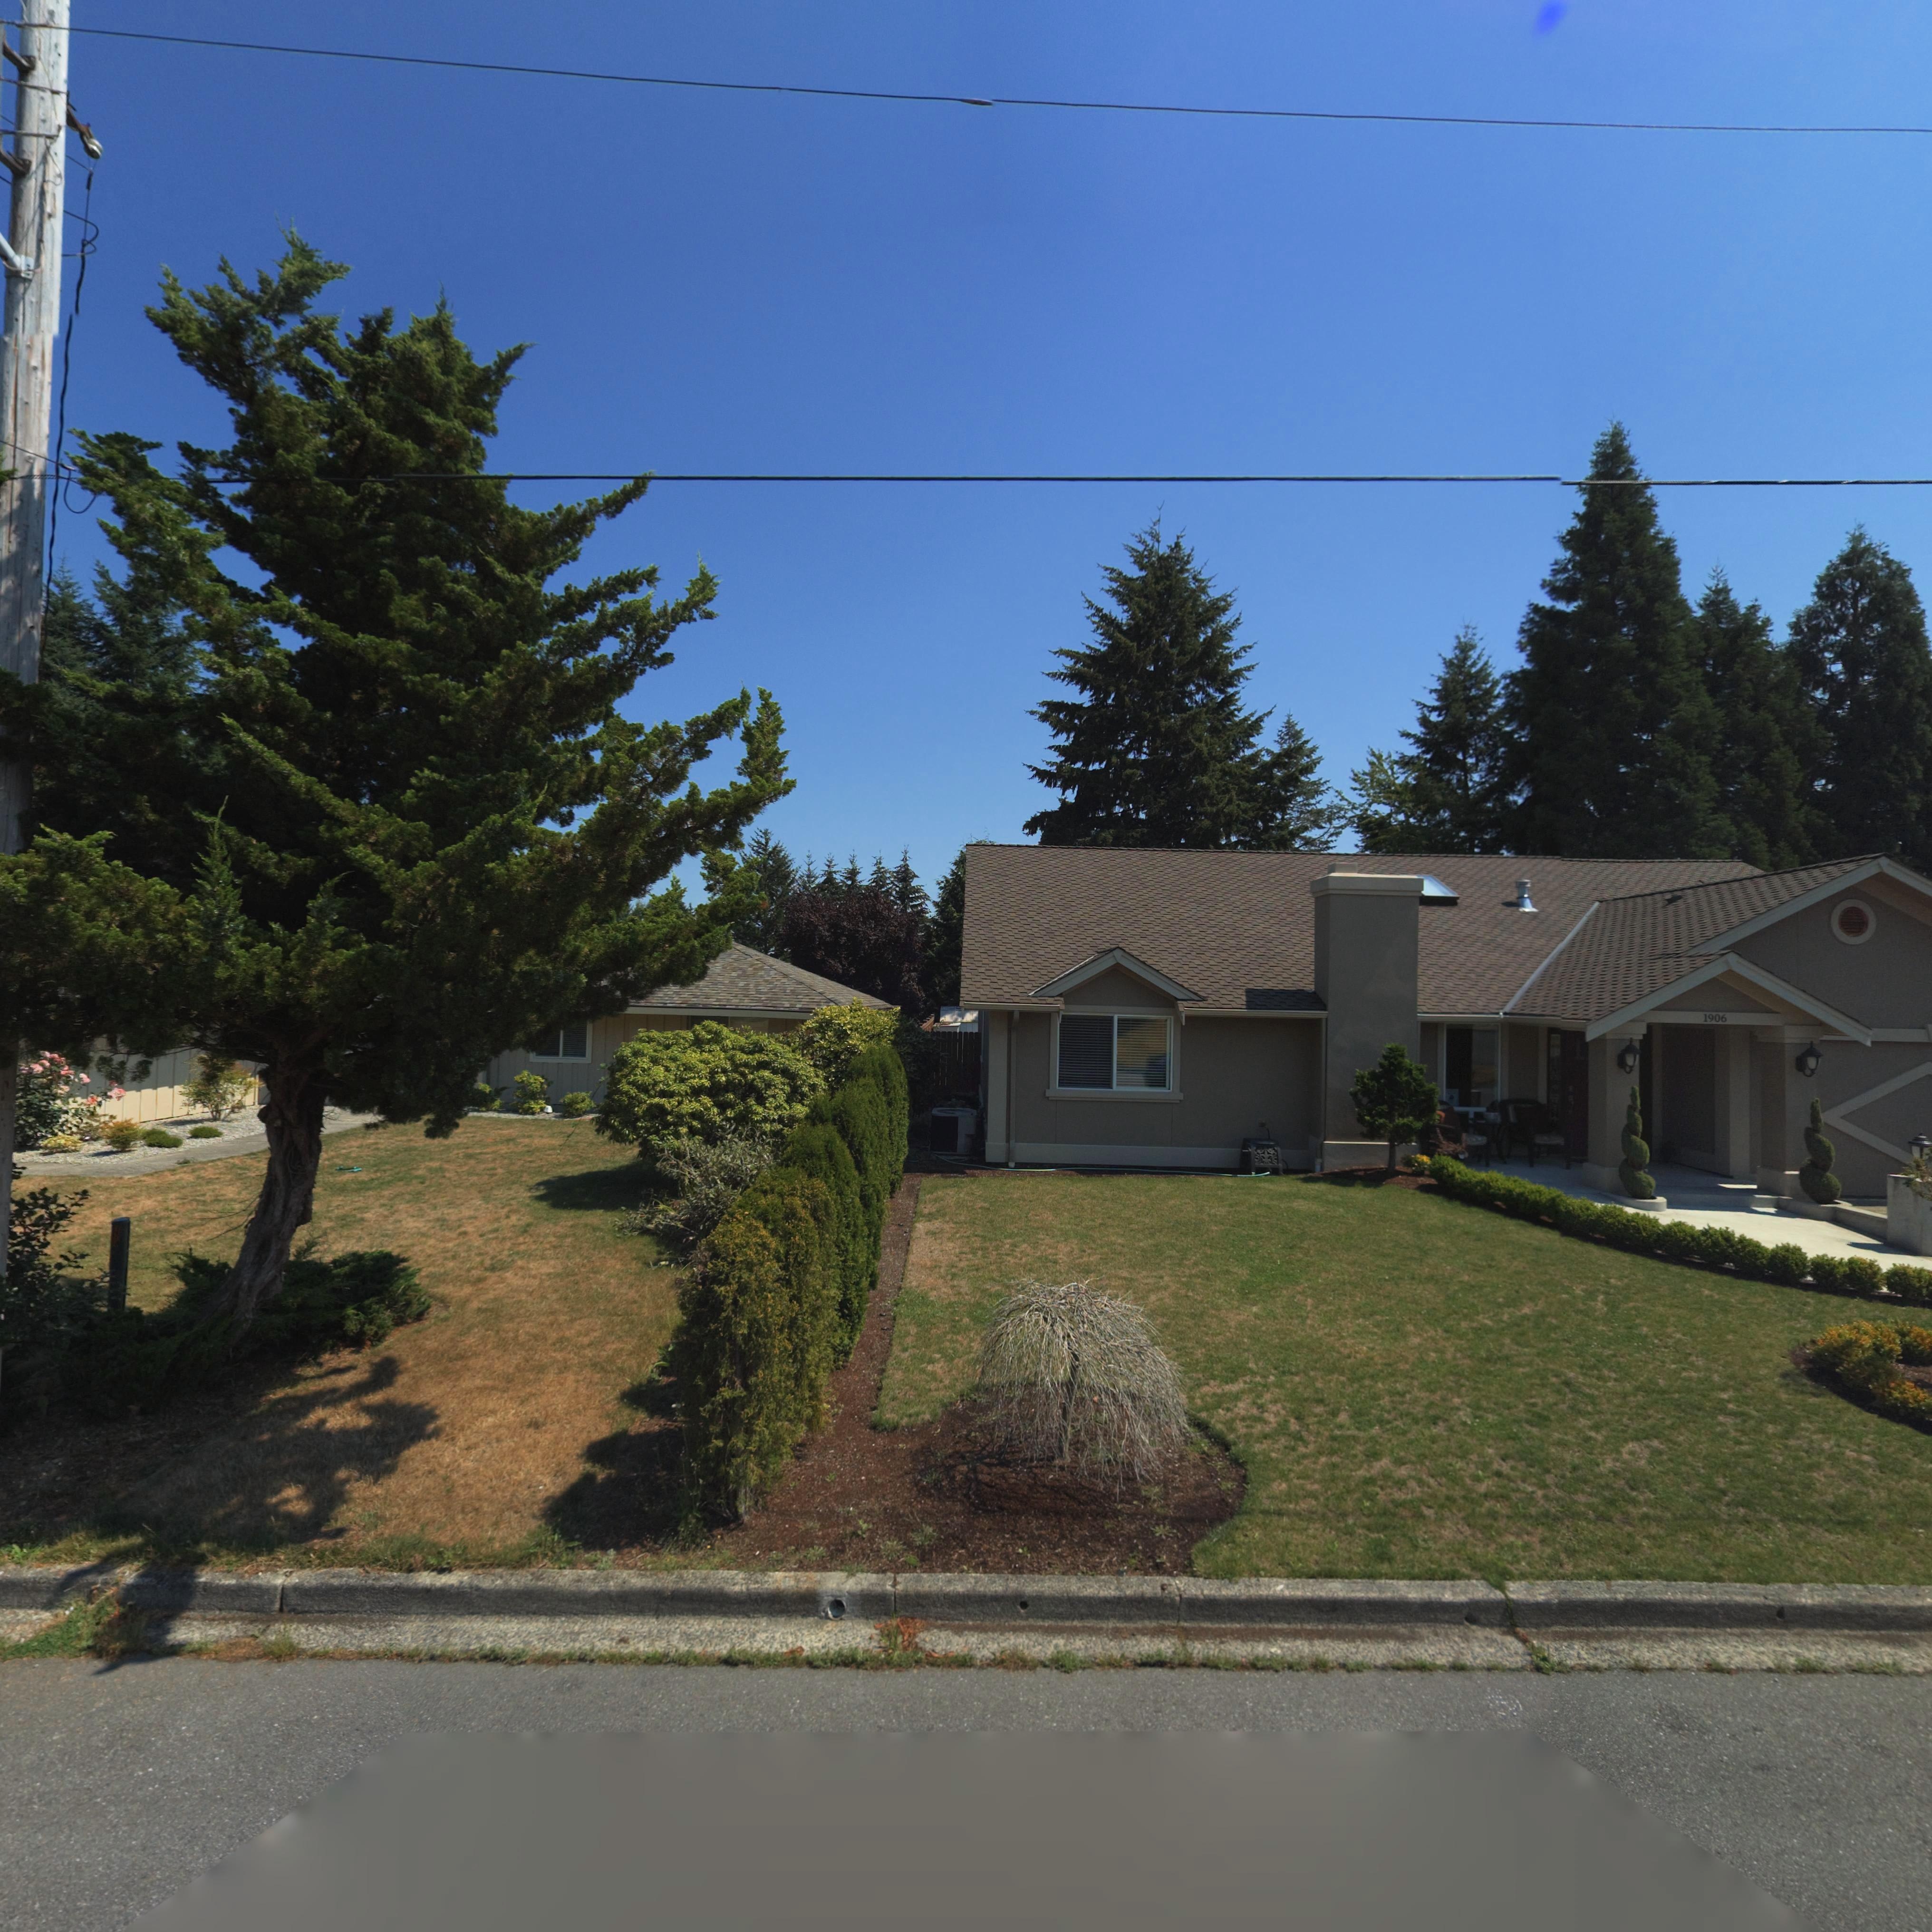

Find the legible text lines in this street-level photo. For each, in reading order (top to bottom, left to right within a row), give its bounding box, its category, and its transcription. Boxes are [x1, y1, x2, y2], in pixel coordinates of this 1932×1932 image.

[1703, 1014, 1727, 1022] StreetNumber: 1906